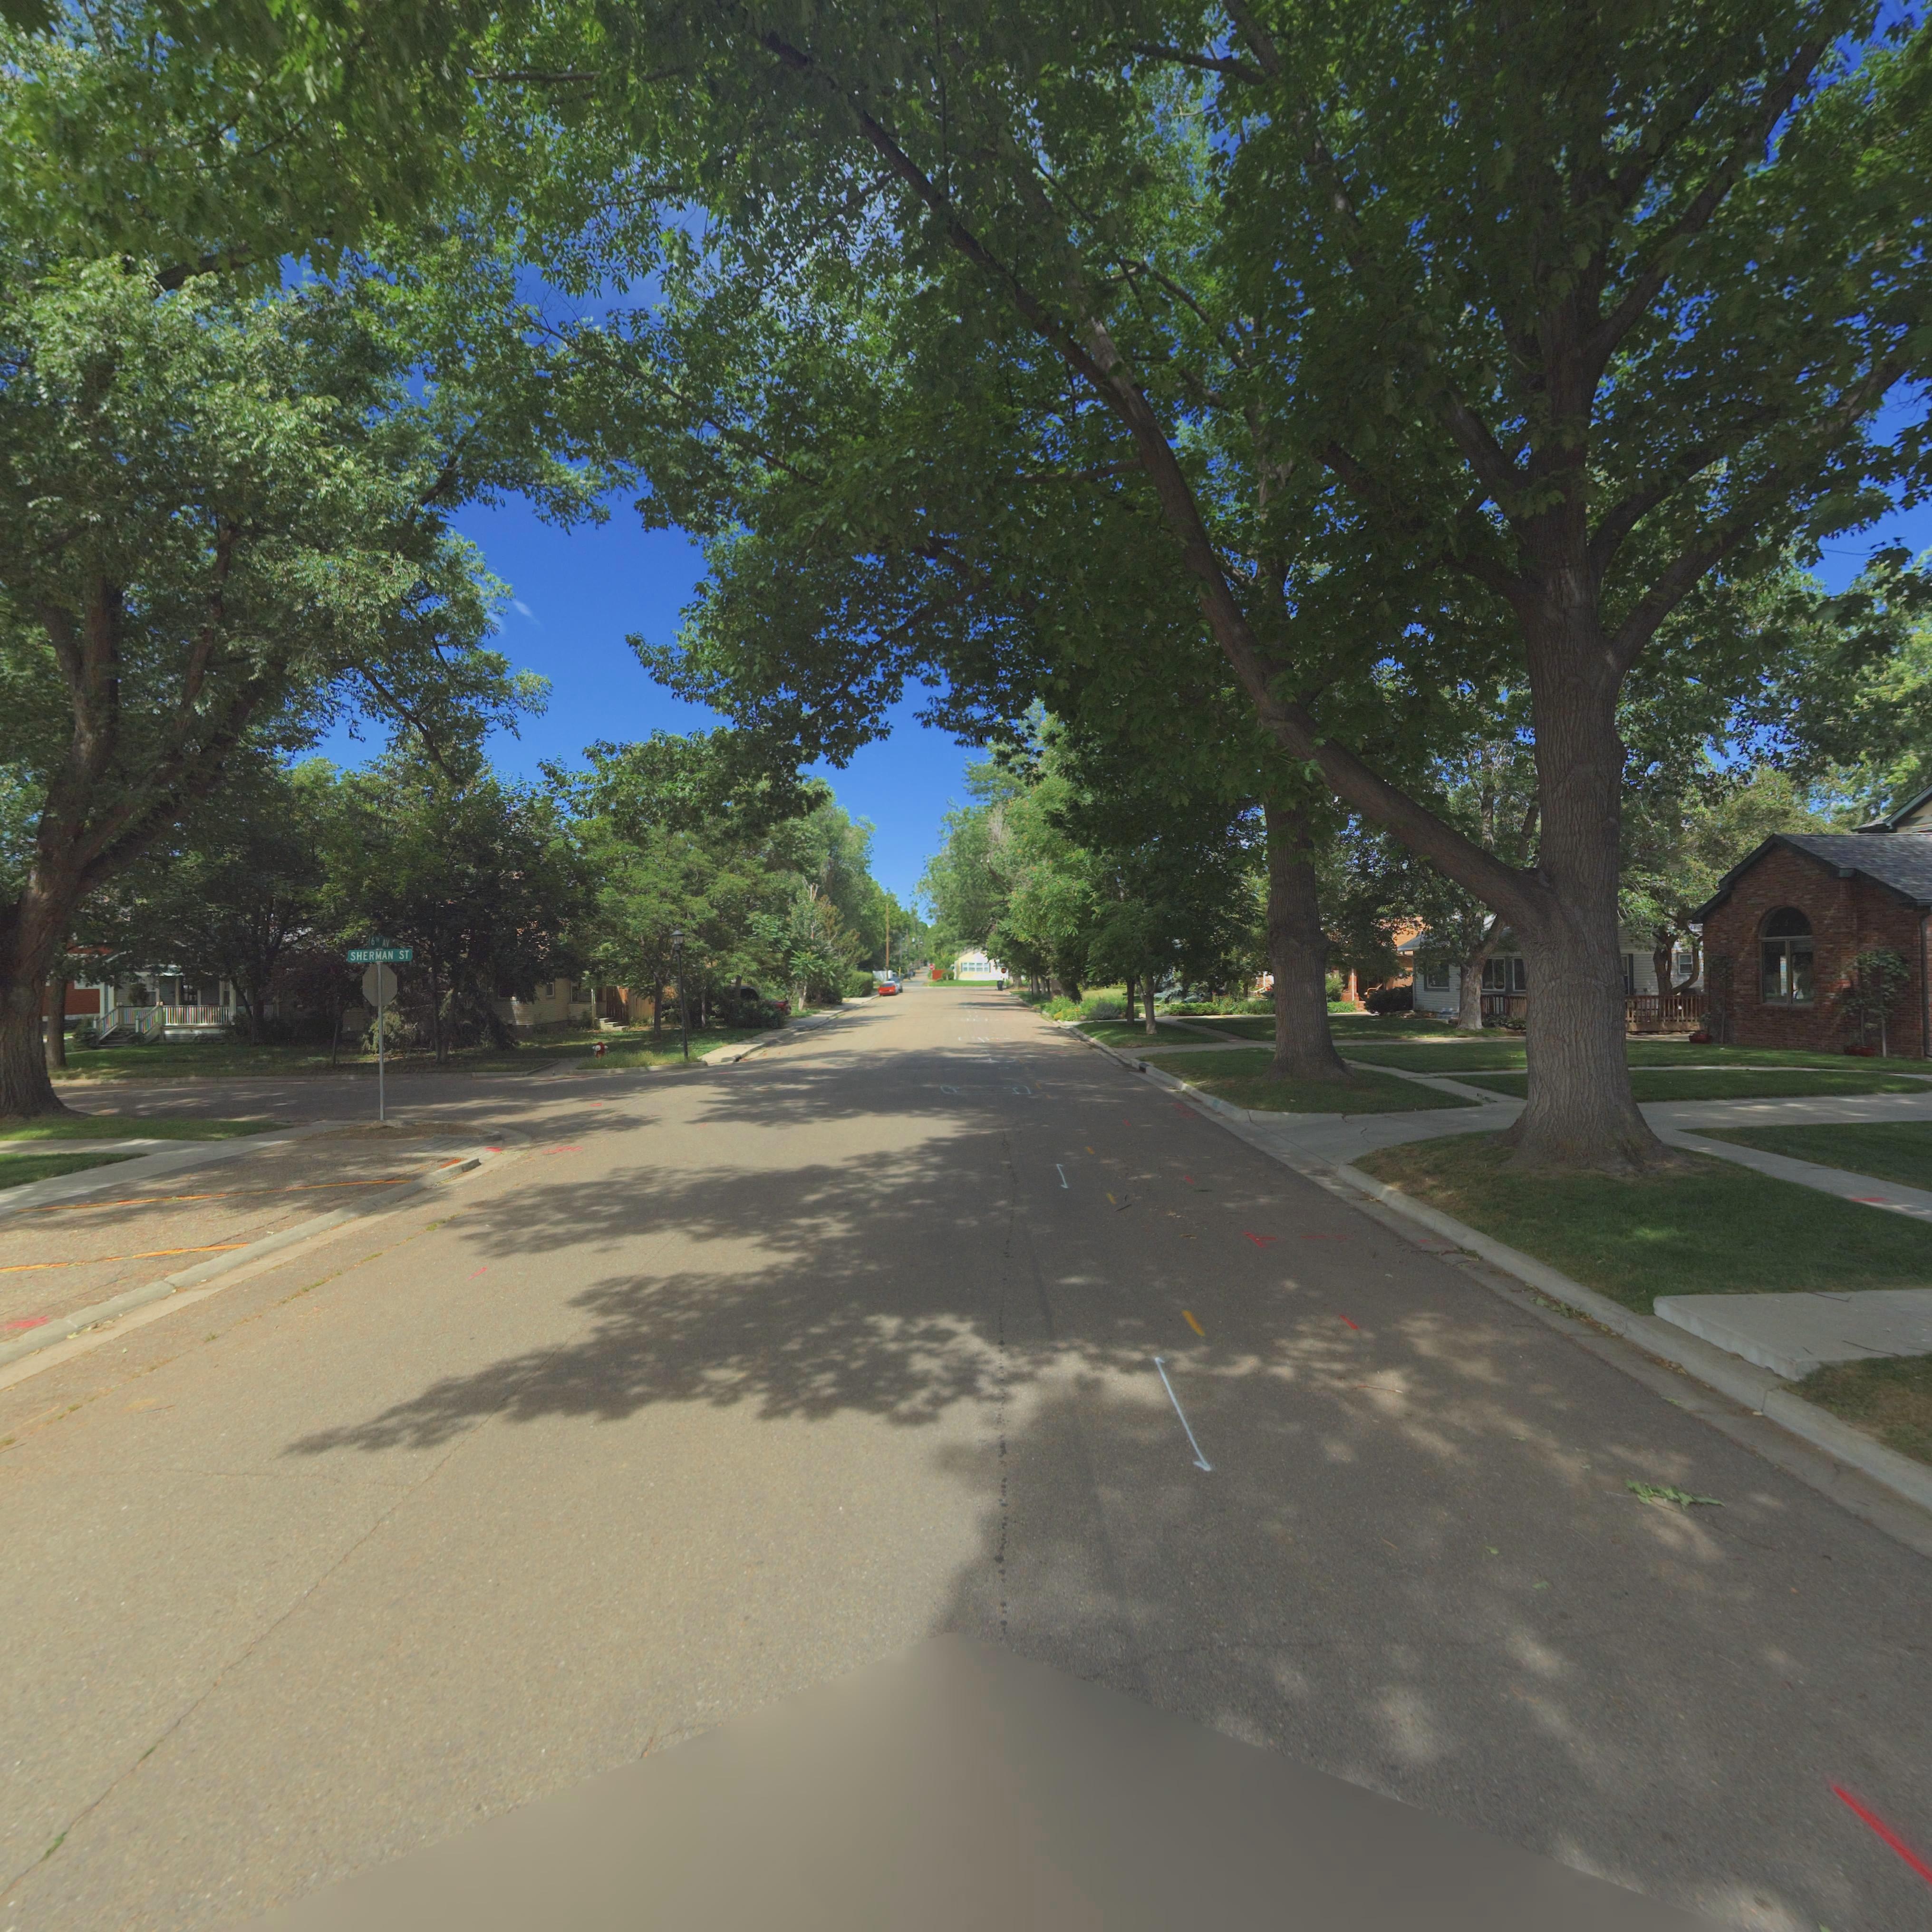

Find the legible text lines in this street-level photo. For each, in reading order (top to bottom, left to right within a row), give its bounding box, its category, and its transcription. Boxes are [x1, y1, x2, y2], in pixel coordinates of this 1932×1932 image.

[371, 937, 389, 947] StreetName: 6** AV
[350, 950, 409, 961] StreetName: SHERMAN ST